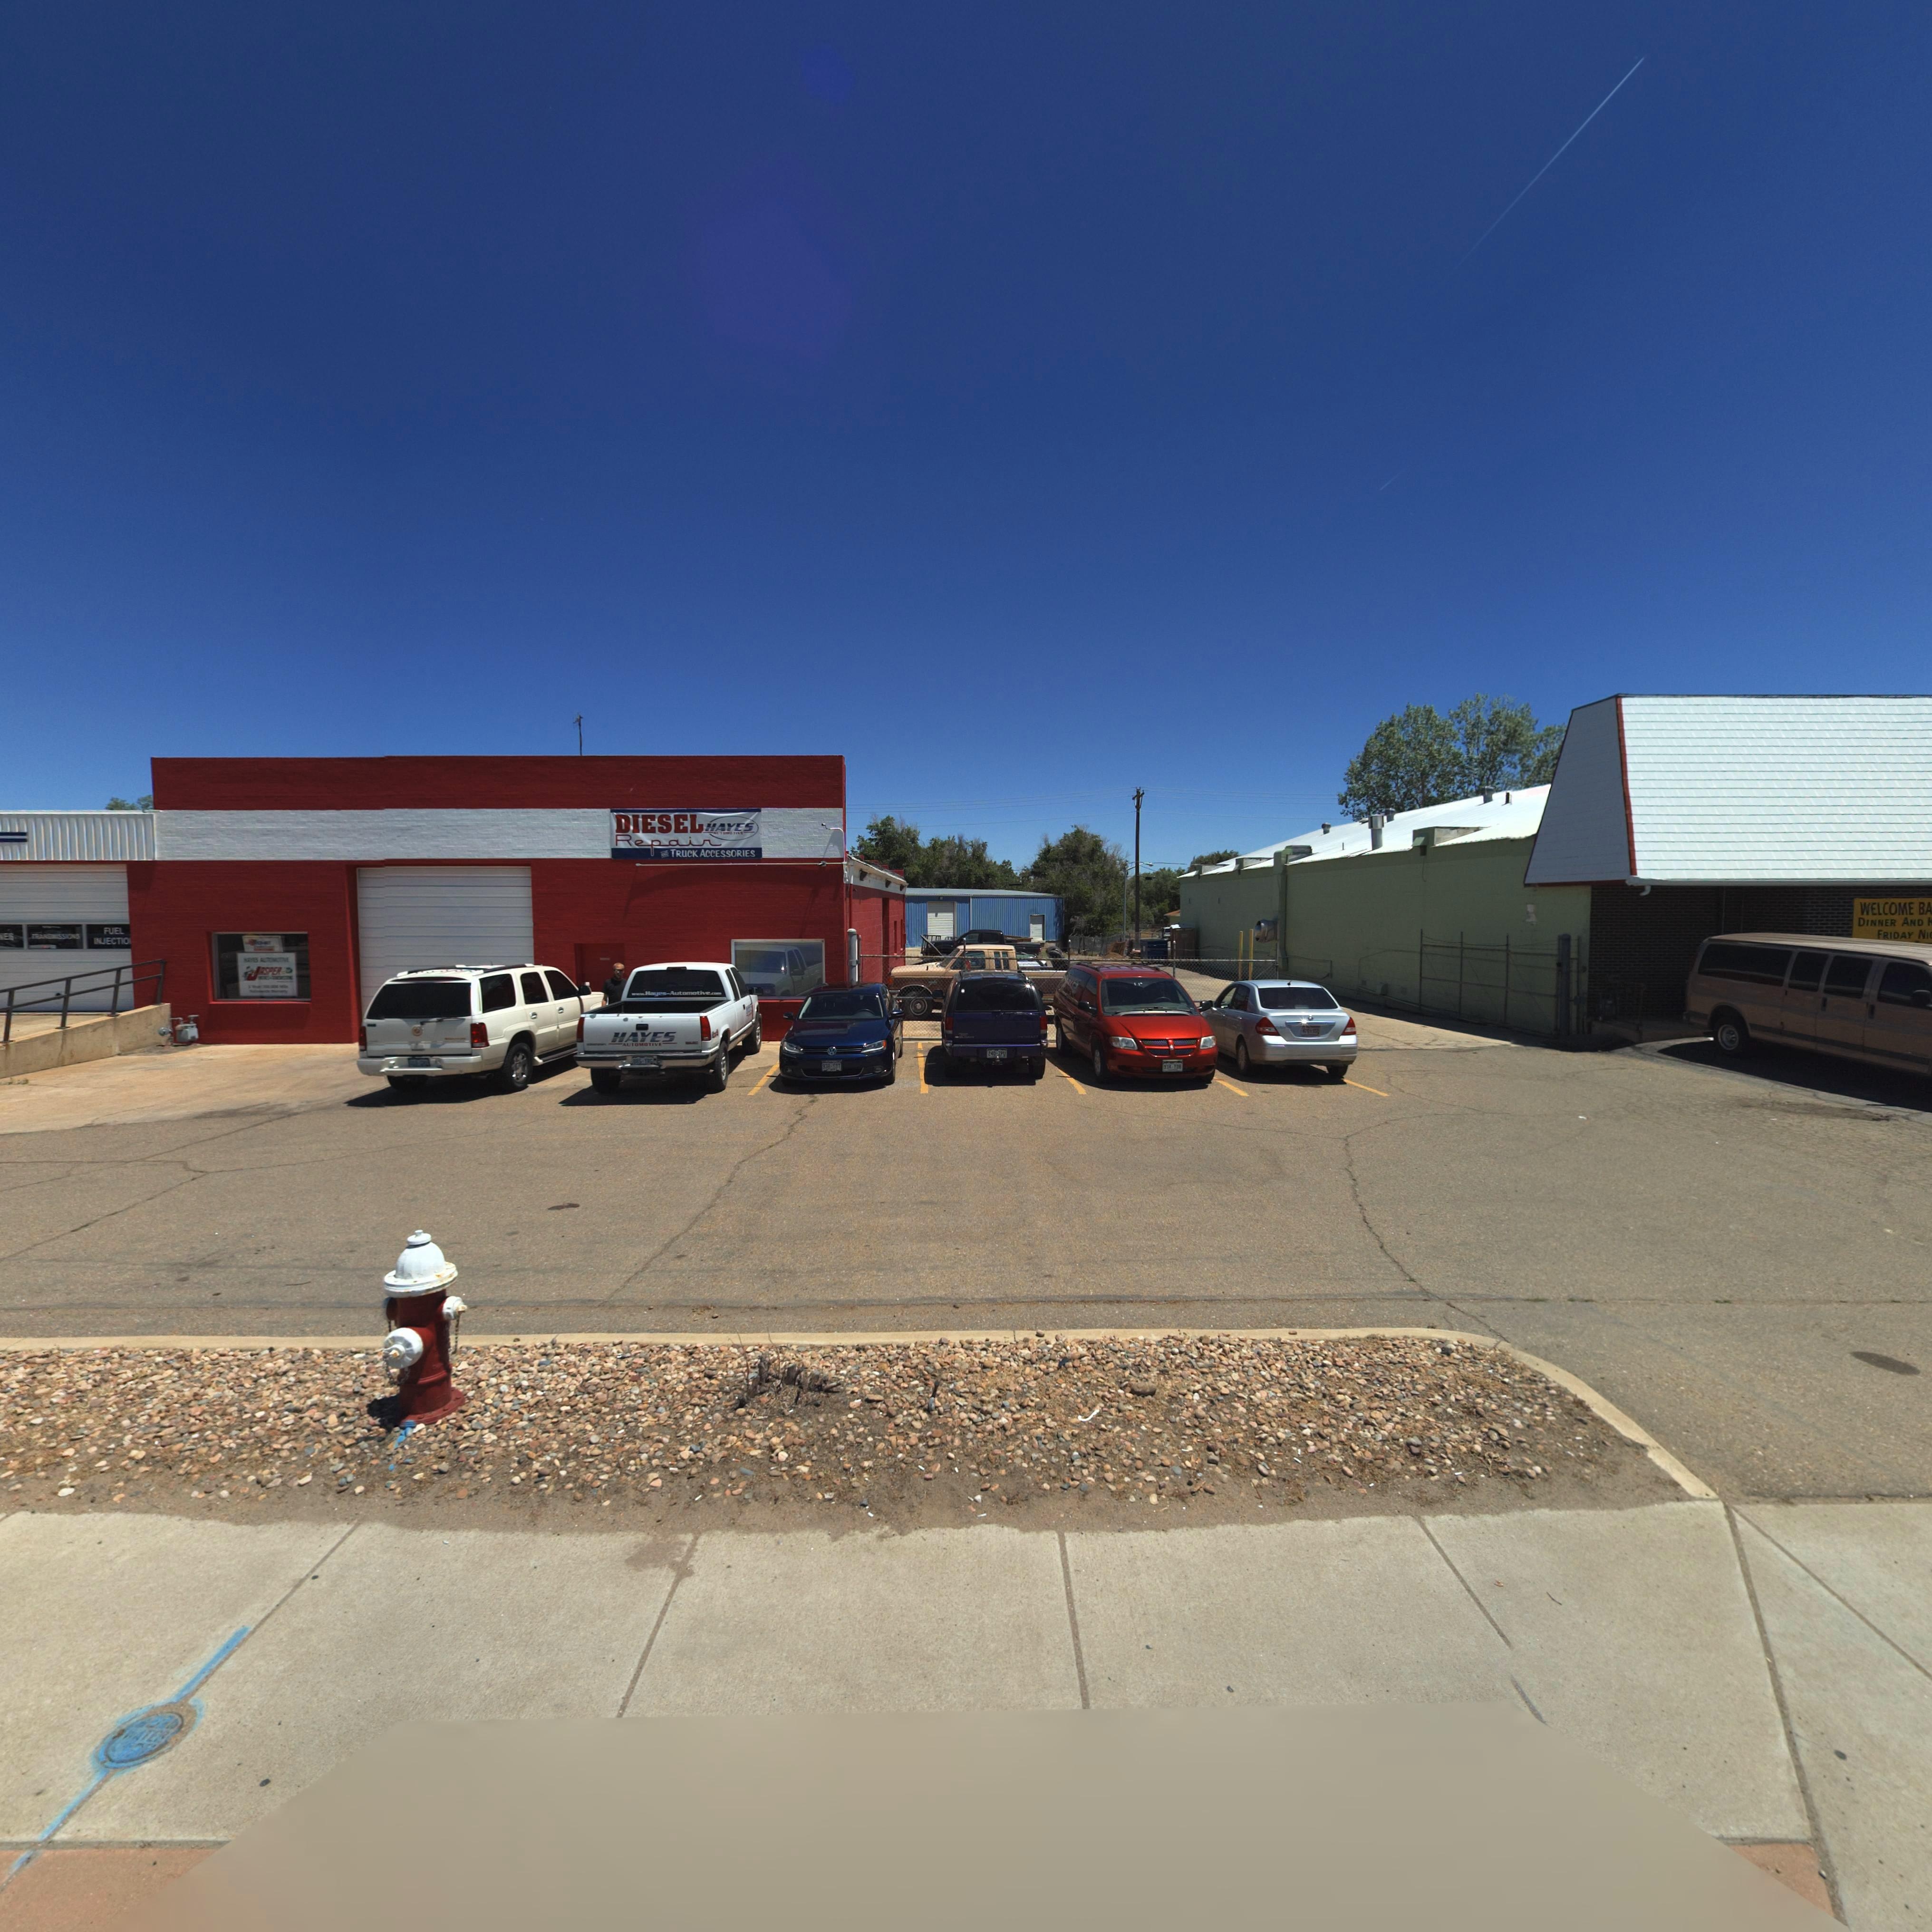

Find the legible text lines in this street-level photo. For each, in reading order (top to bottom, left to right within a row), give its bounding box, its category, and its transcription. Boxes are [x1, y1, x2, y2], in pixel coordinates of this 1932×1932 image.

[615, 814, 703, 833] BusinessName: DIESEL
[712, 831, 743, 834] BusinessName: AUTOMATIVE
[705, 822, 755, 831] BusinessName: HAYES
[615, 834, 722, 855] None: Repair